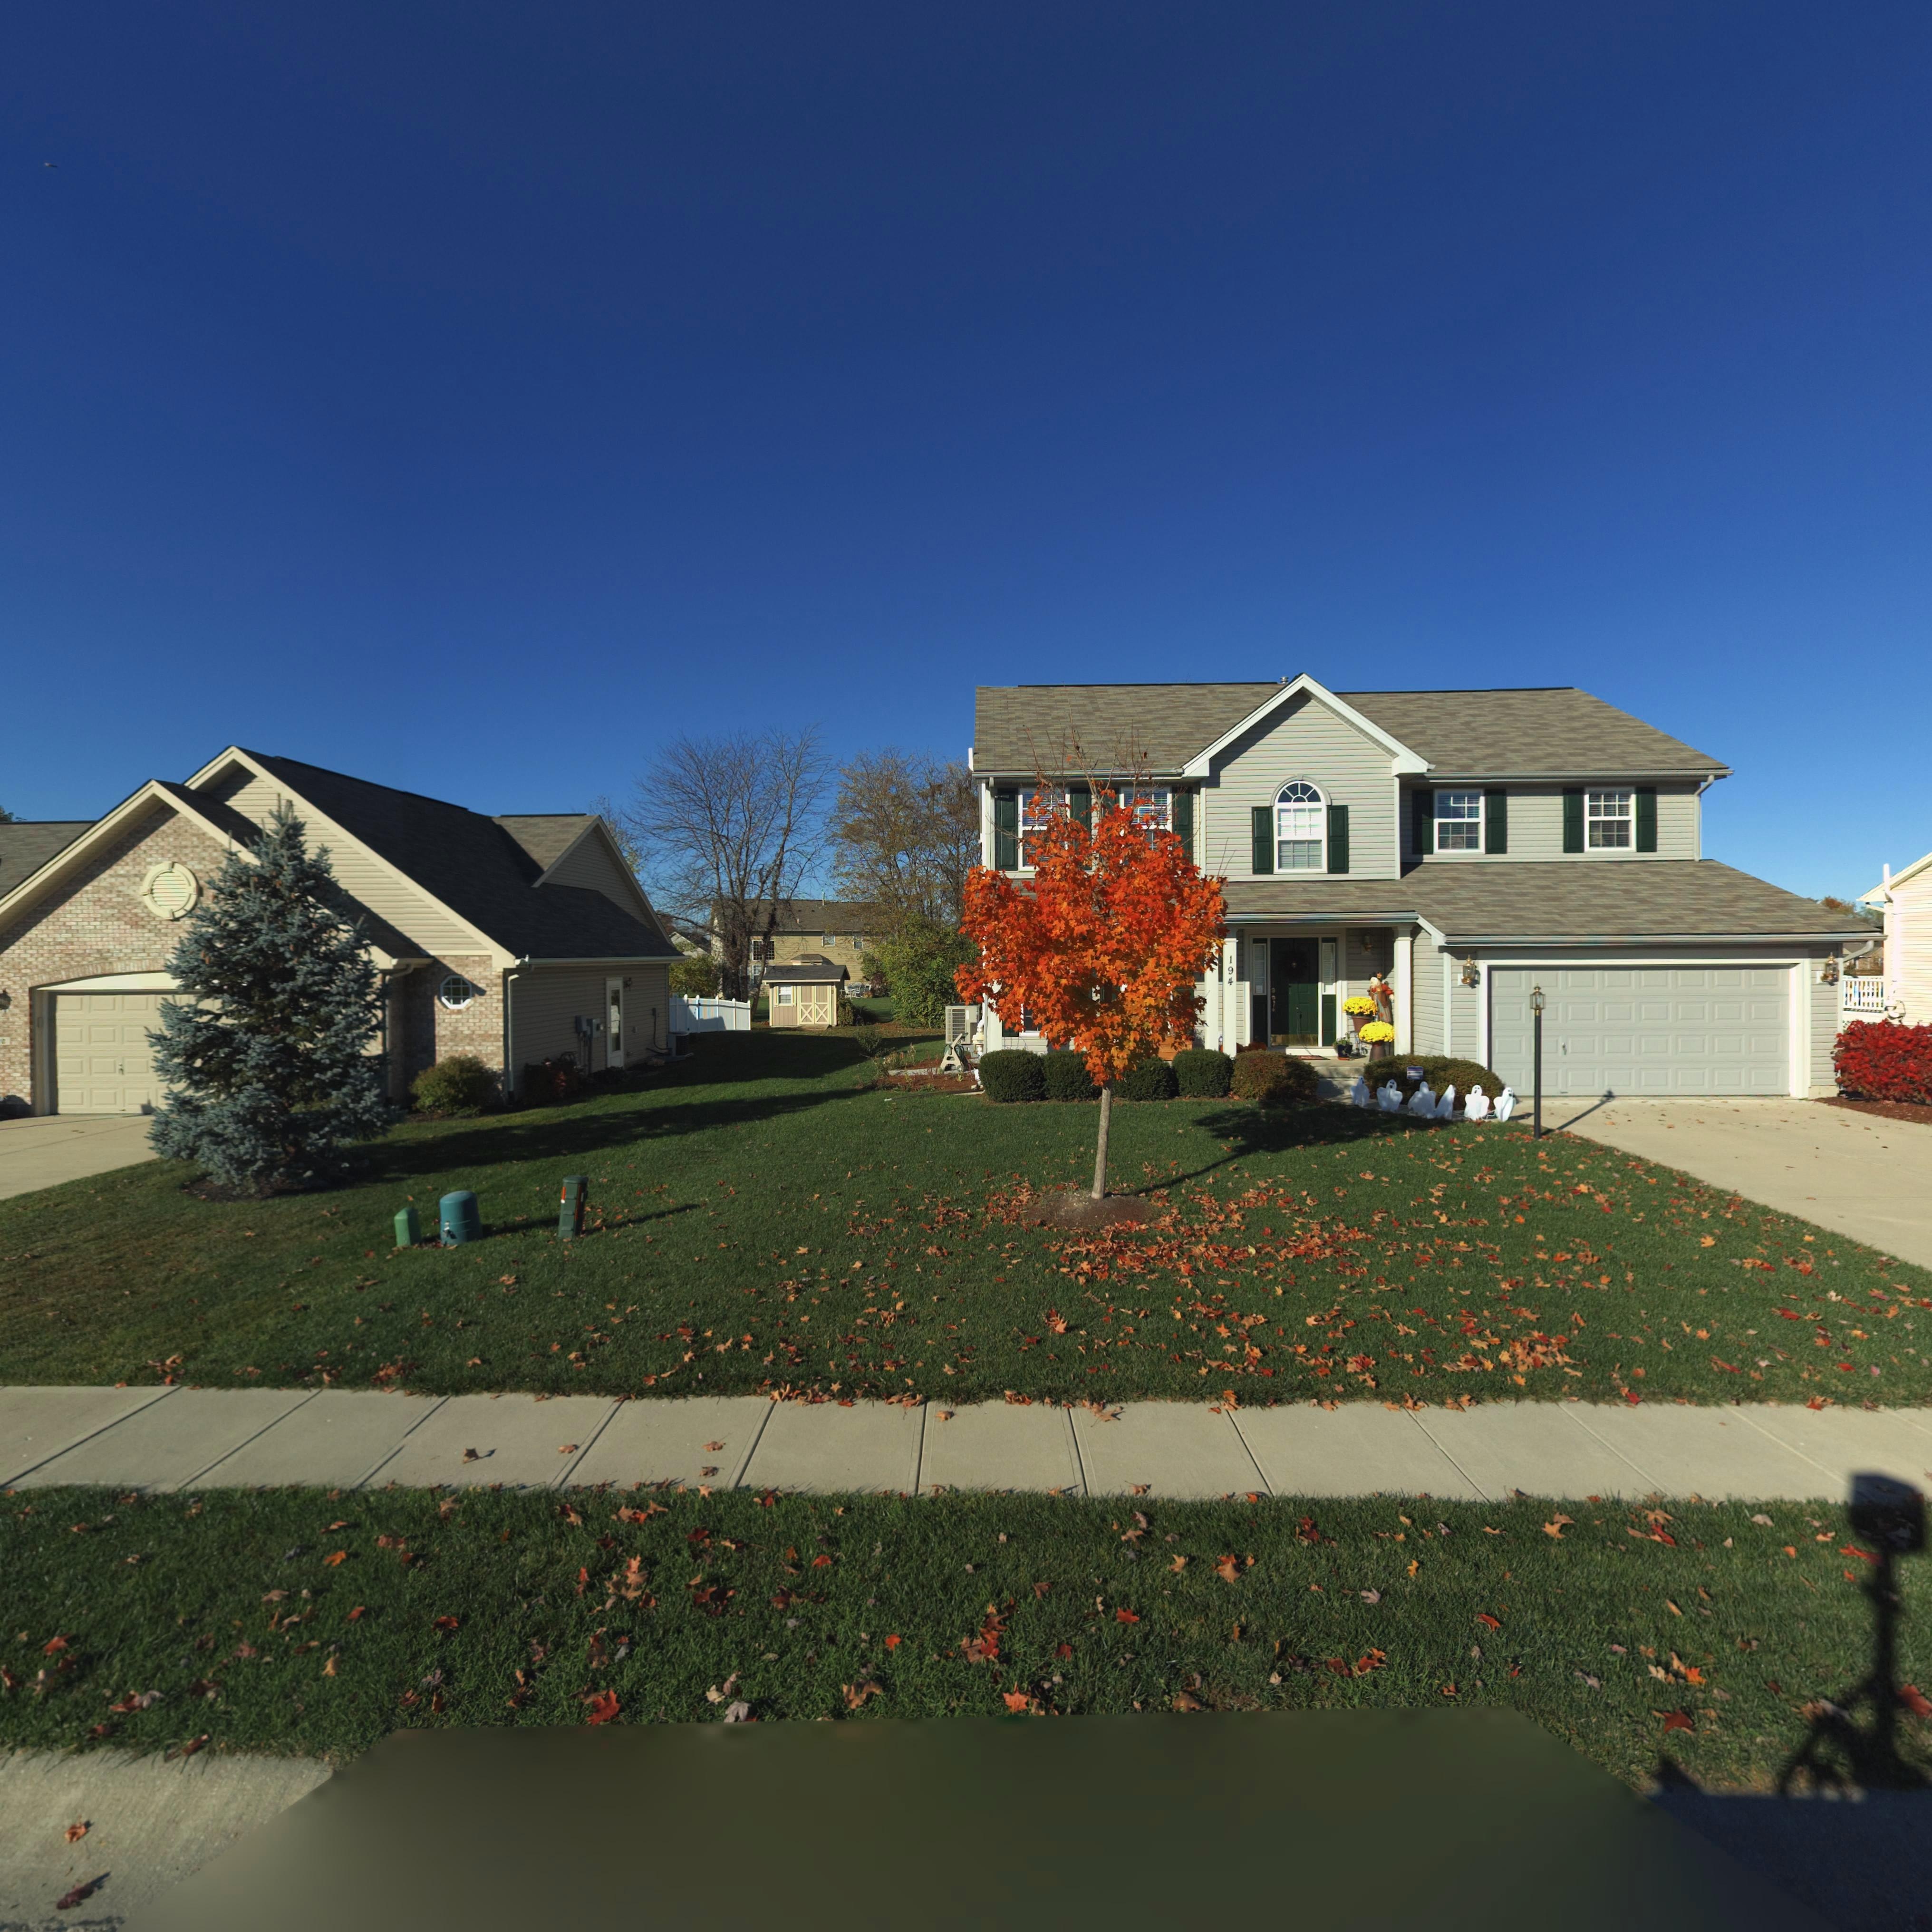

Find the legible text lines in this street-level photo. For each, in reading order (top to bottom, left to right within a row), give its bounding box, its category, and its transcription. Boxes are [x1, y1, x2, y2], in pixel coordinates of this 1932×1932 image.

[1227, 954, 1235, 986] StreetNumber: 194